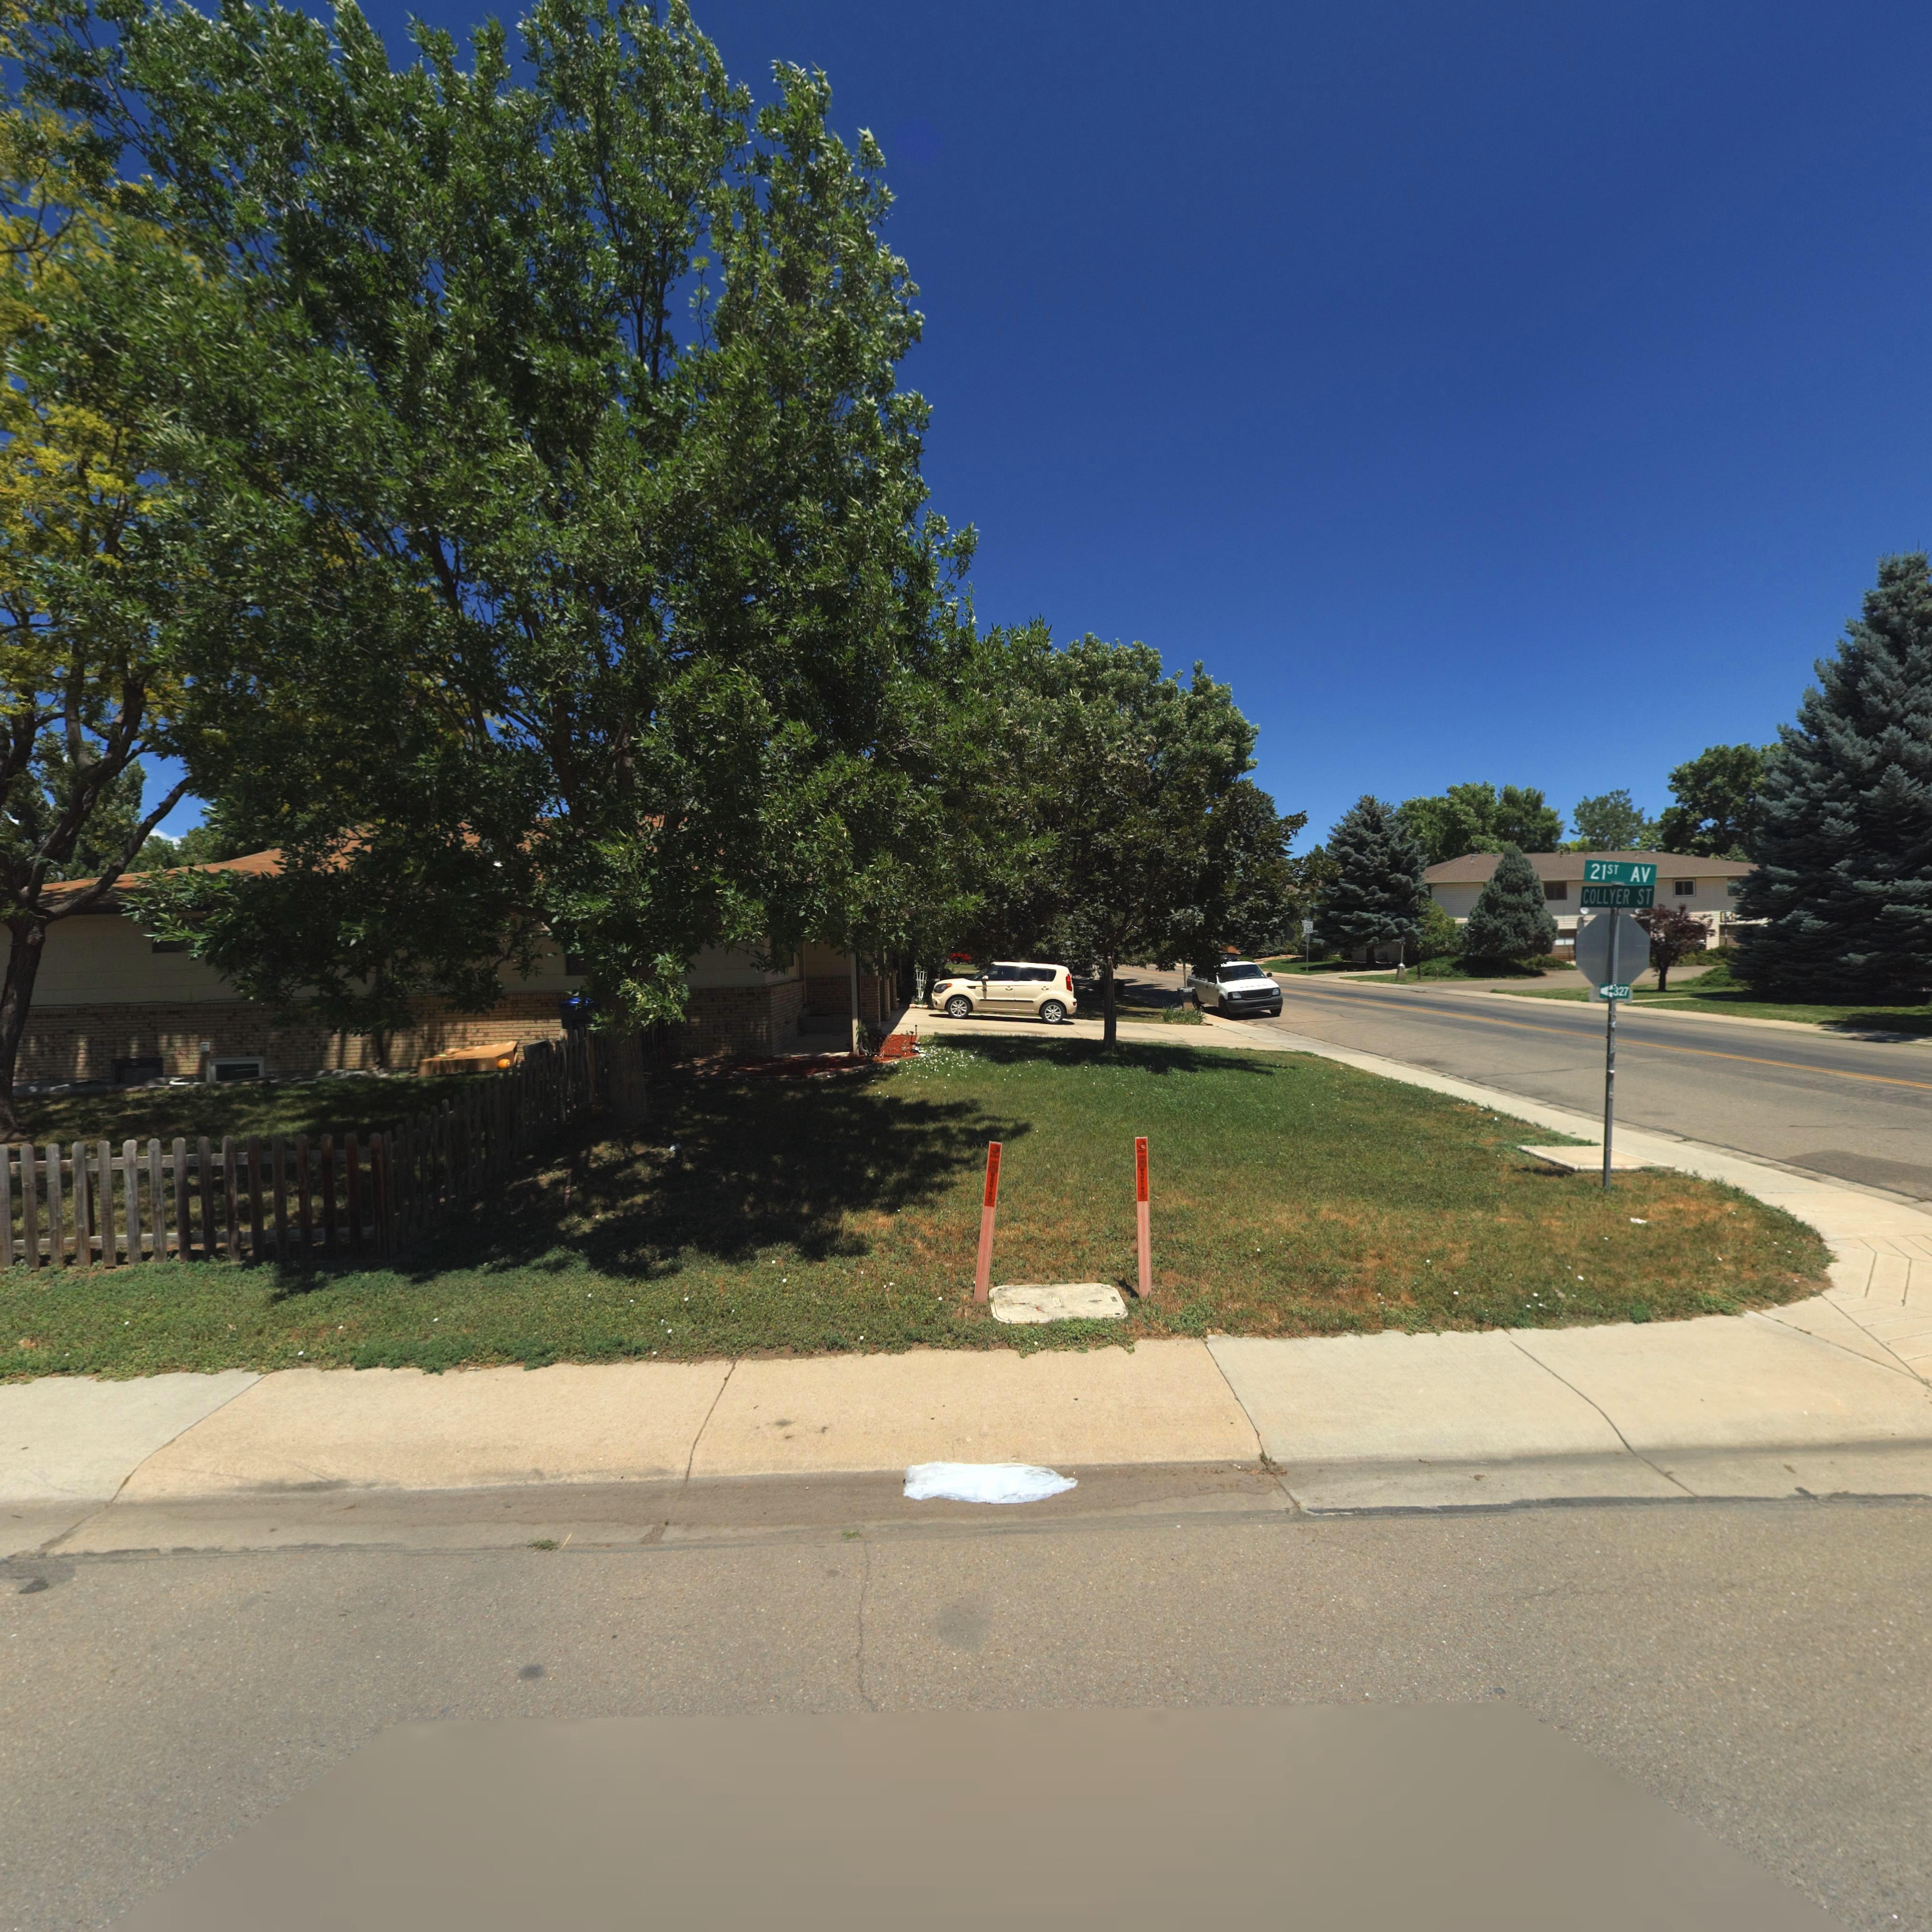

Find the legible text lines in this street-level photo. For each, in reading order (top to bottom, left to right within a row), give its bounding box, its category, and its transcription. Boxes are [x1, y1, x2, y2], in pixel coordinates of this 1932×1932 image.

[1589, 862, 1652, 883] StreetName: 21ST AV
[1582, 888, 1652, 905] StreetName: COLLYER ST